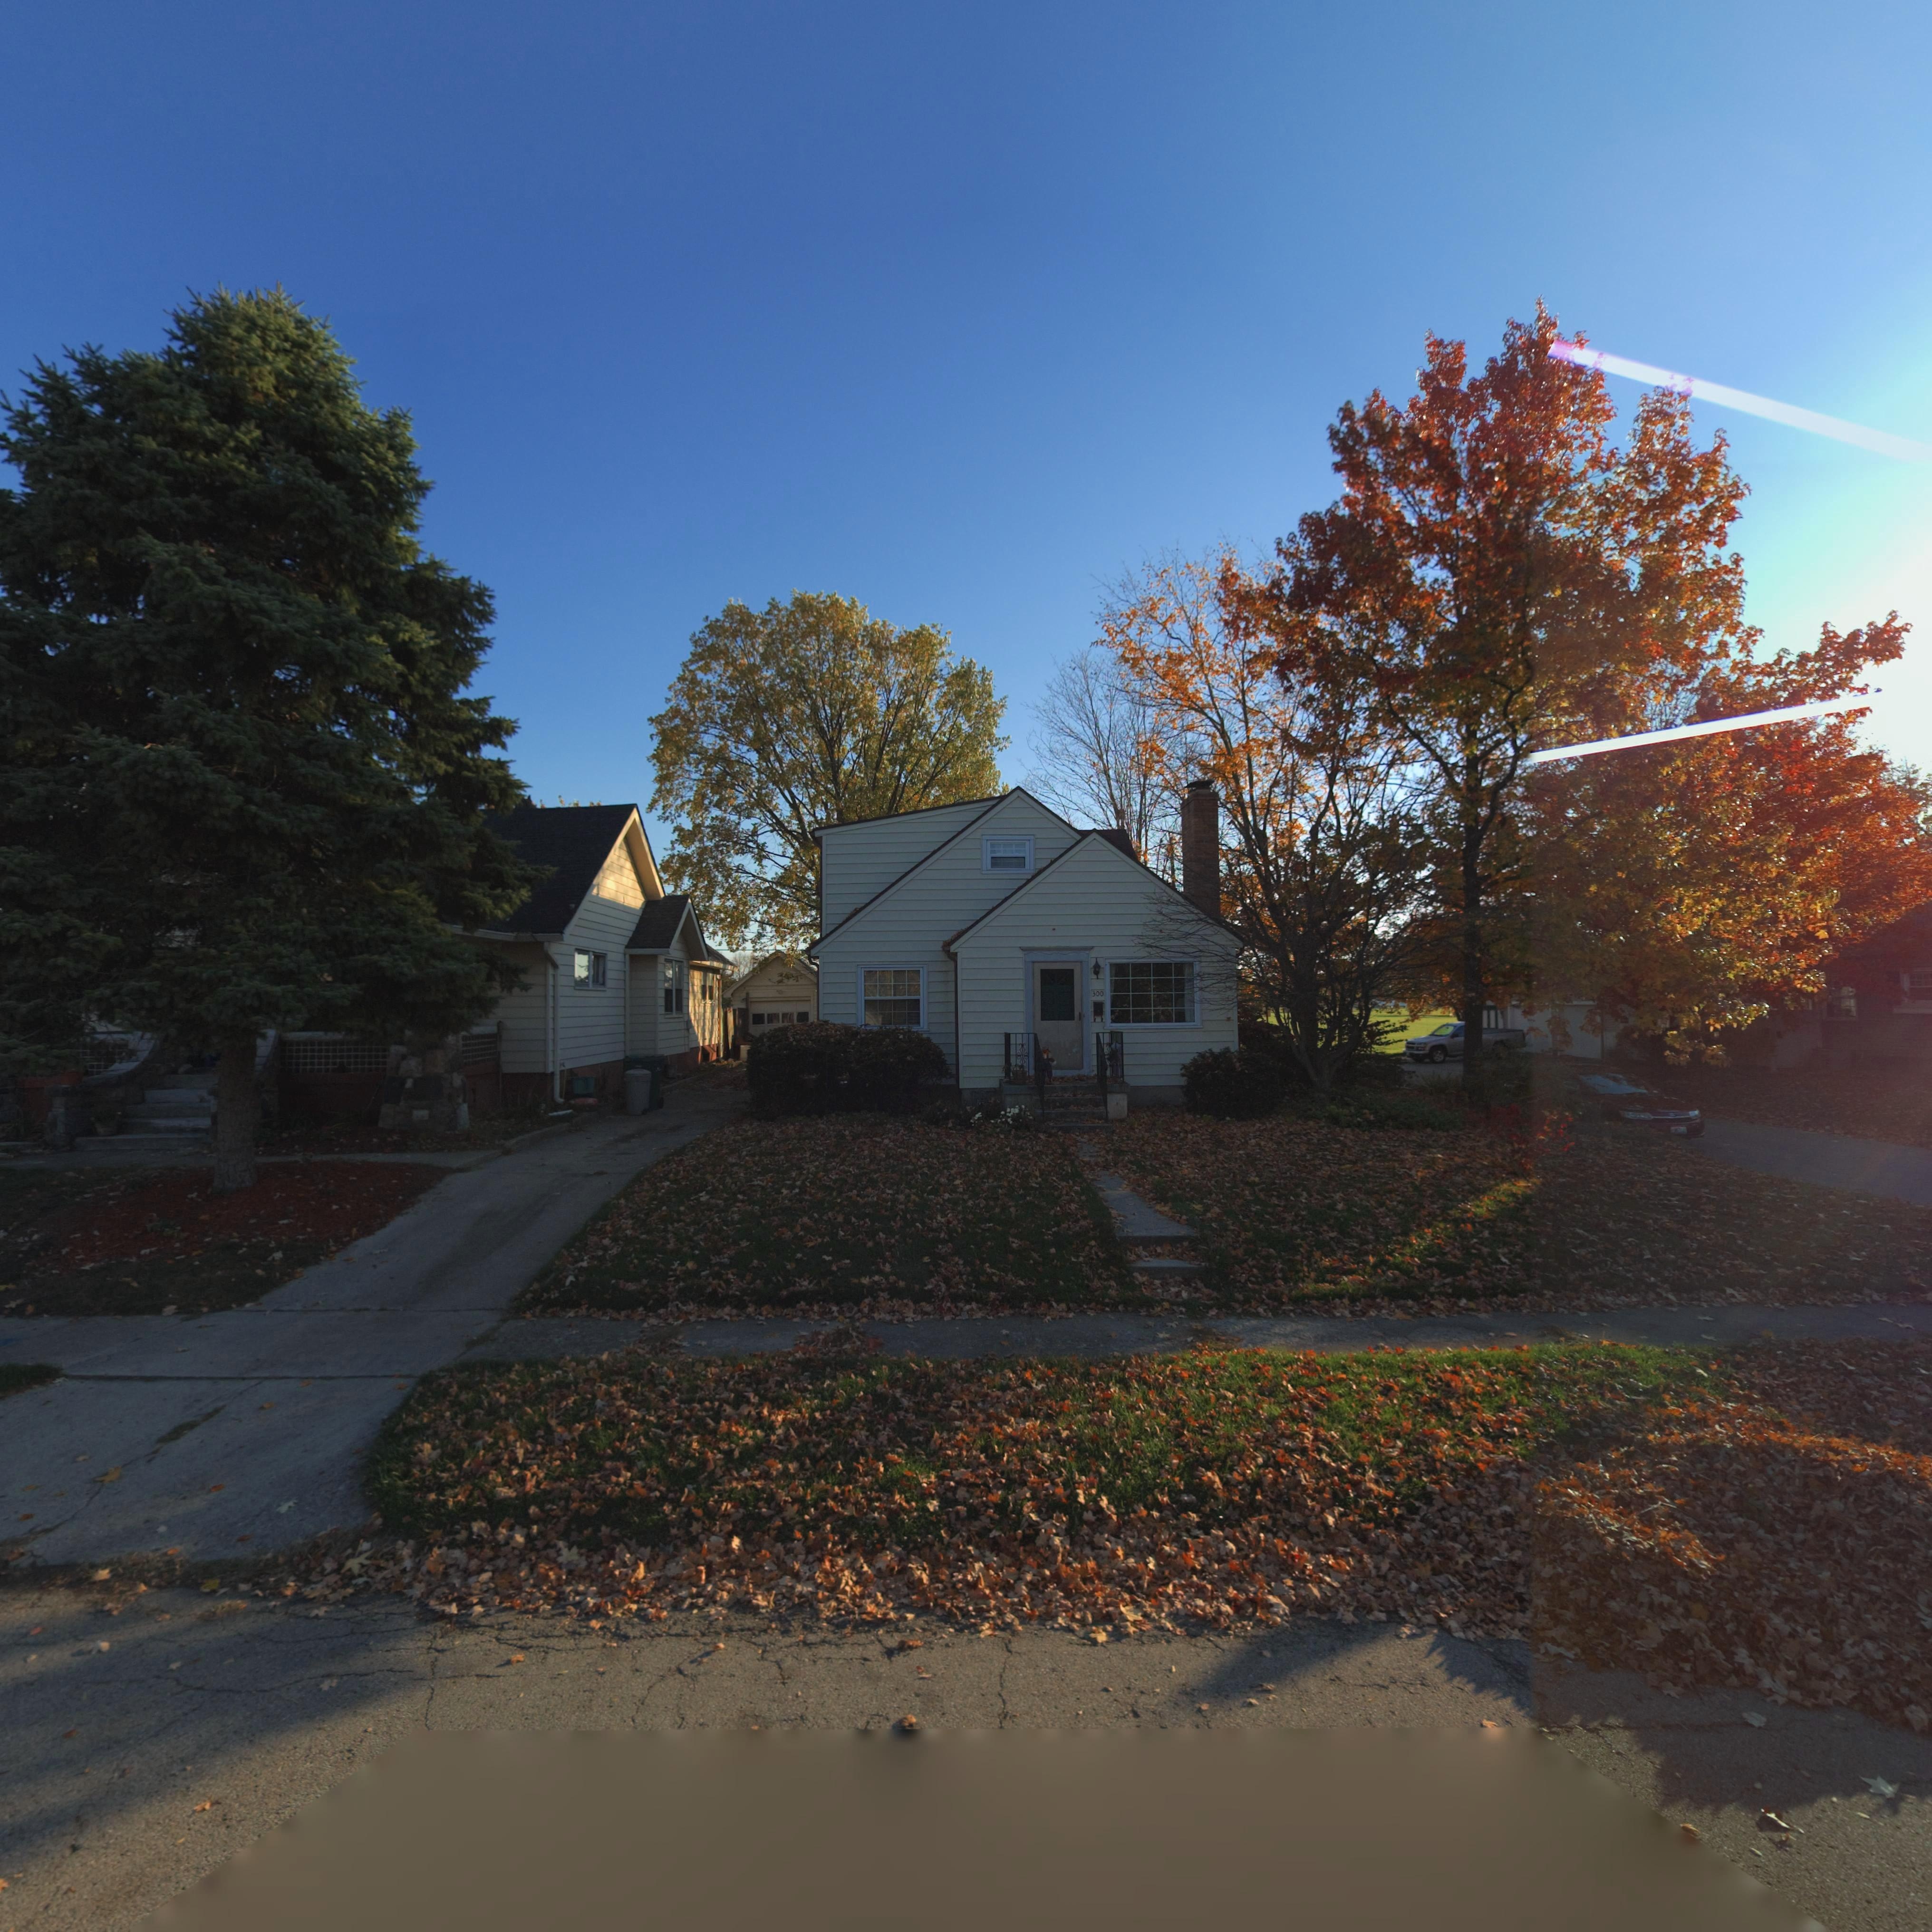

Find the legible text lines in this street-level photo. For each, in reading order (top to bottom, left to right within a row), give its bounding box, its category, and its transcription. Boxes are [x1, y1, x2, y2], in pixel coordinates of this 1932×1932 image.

[1092, 990, 1104, 997] StreetNumber: 300